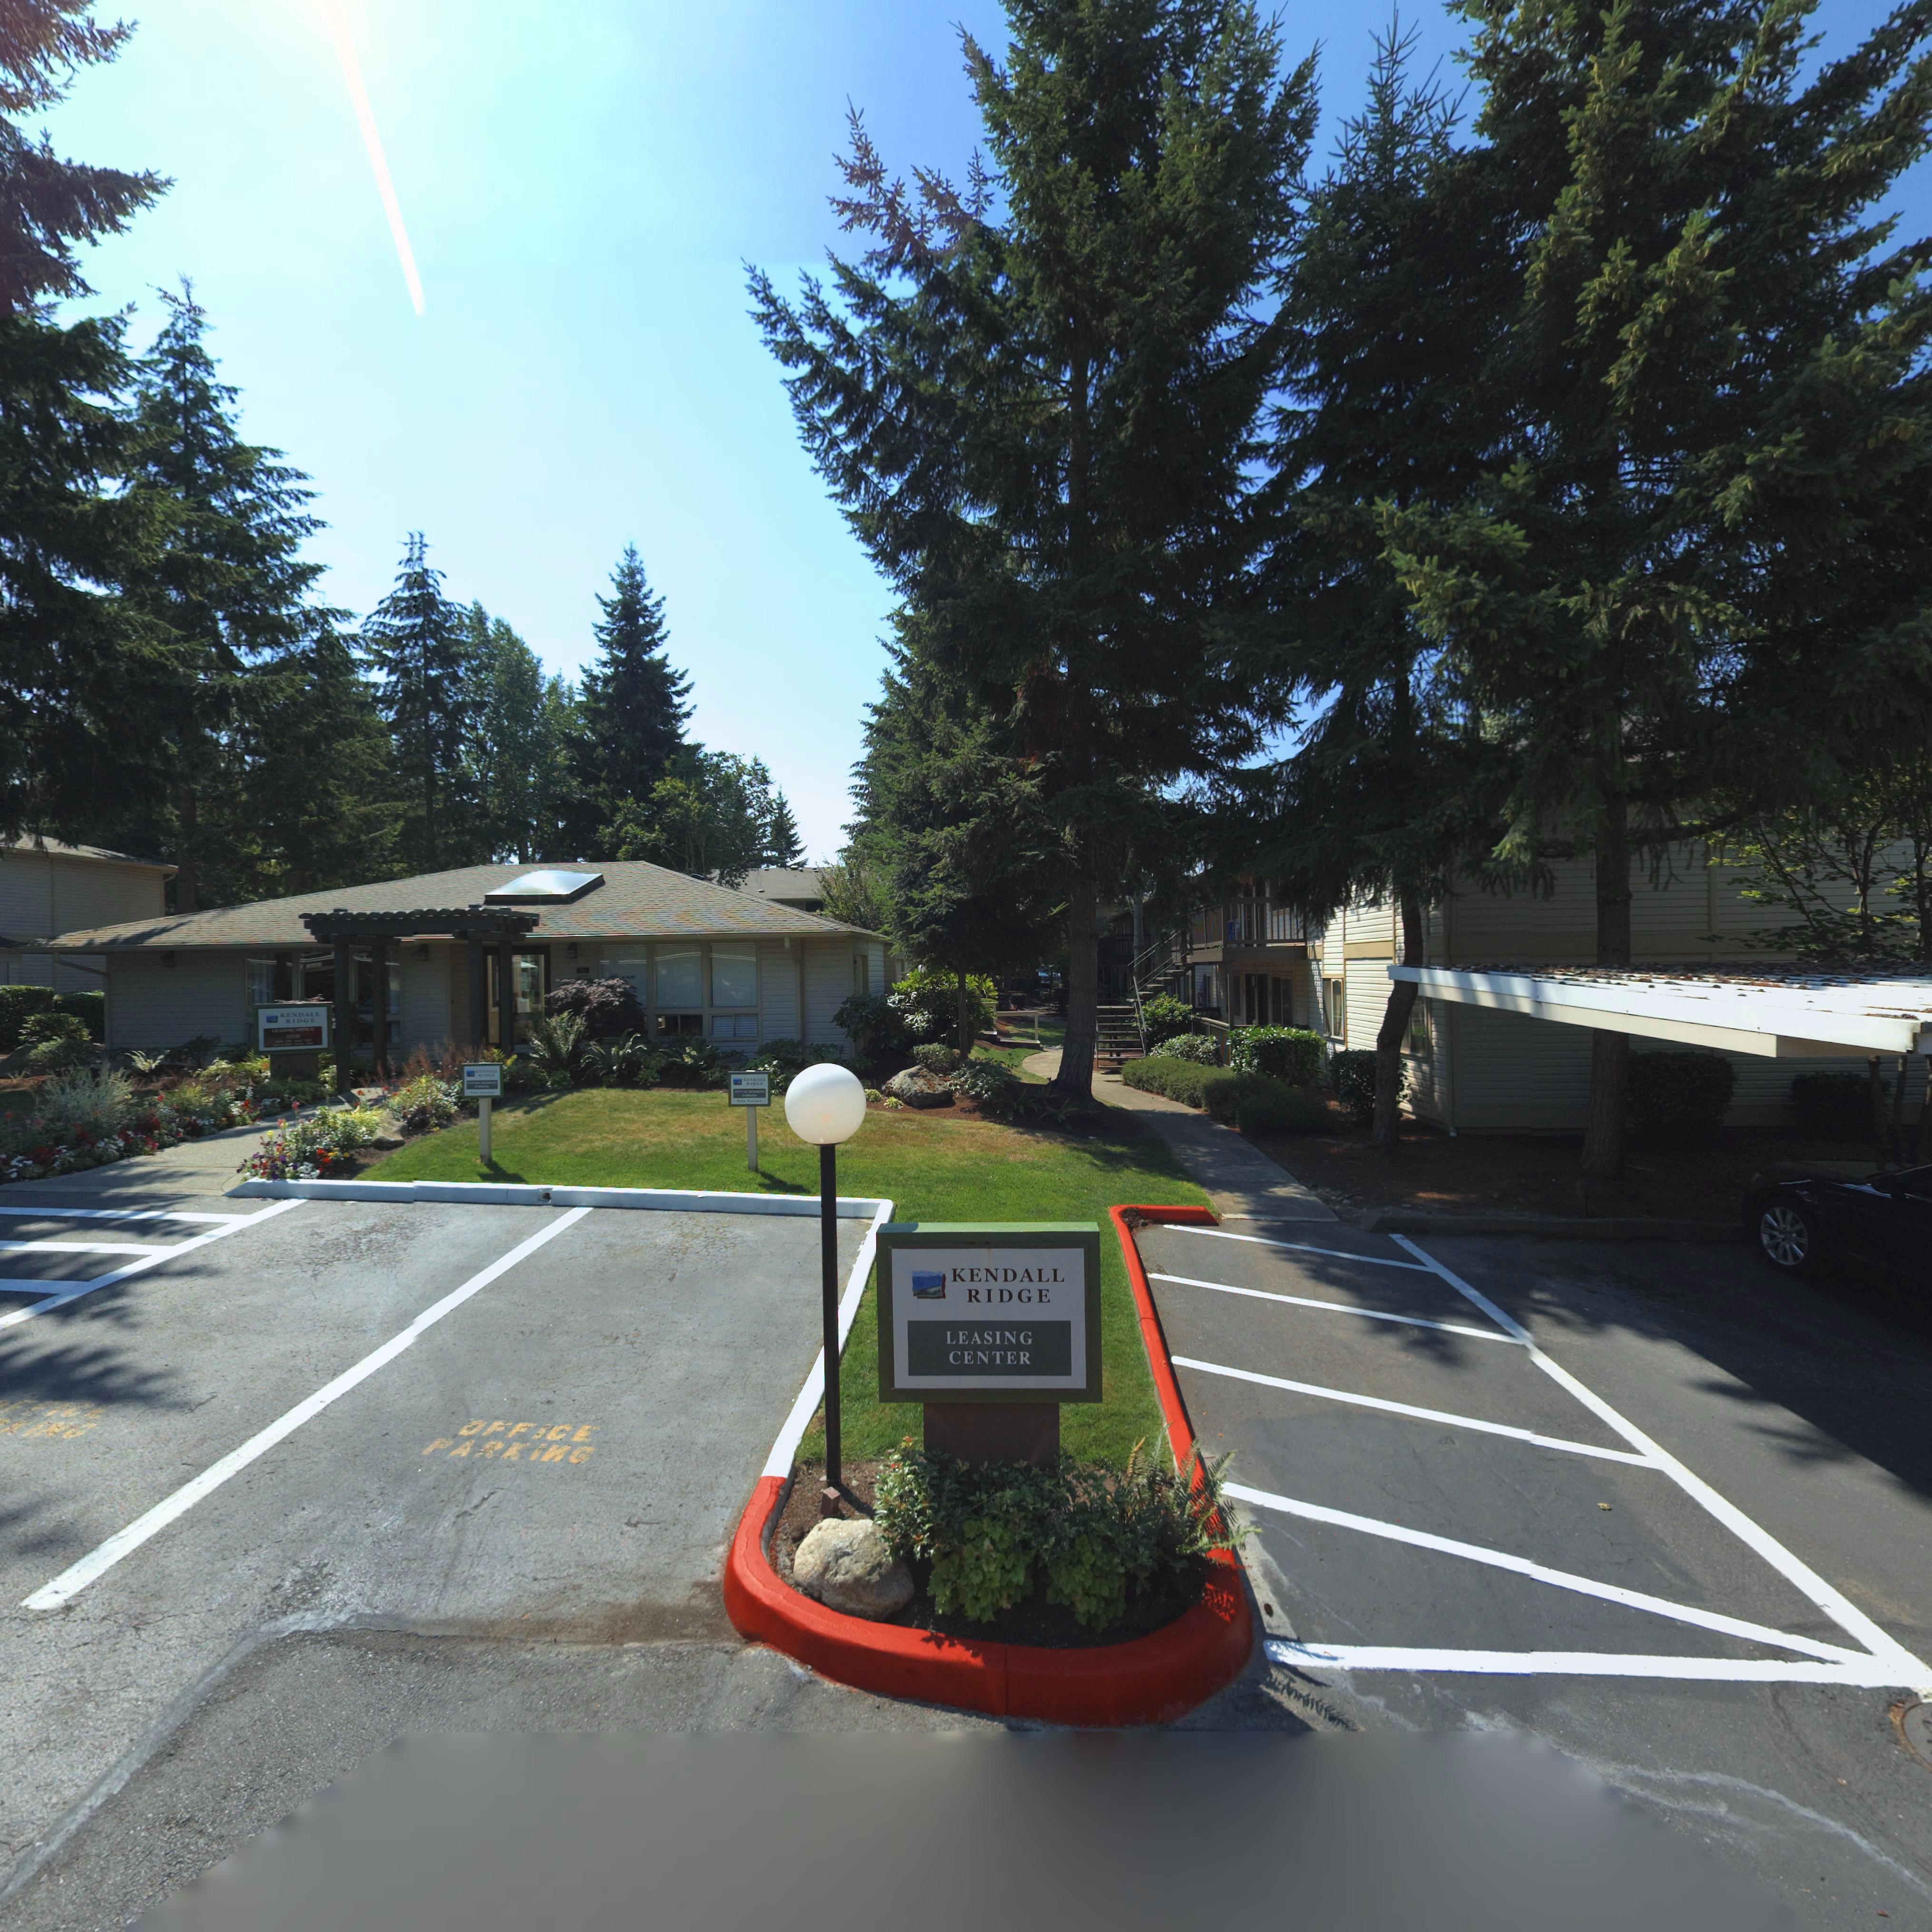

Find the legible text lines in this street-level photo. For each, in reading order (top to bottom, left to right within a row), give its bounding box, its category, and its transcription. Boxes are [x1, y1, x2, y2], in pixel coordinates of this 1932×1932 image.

[280, 1012, 321, 1017] BusinessName: KENDALL
[285, 1018, 316, 1024] BusinessName: RIDGE
[476, 1070, 499, 1073] BusinessName: KENDALL
[477, 1073, 496, 1077] BusinessName: RIDGE
[744, 1078, 766, 1082] BusinessName: KENDALL
[745, 1082, 764, 1085] BusinessName: RIDGE
[951, 1268, 1064, 1282] BusinessName: KENDALL
[966, 1288, 1050, 1303] BusinessName: RIDGE
[946, 1331, 1033, 1344] BusinessName: LEASING
[949, 1351, 1030, 1363] BusinessName: CENTER